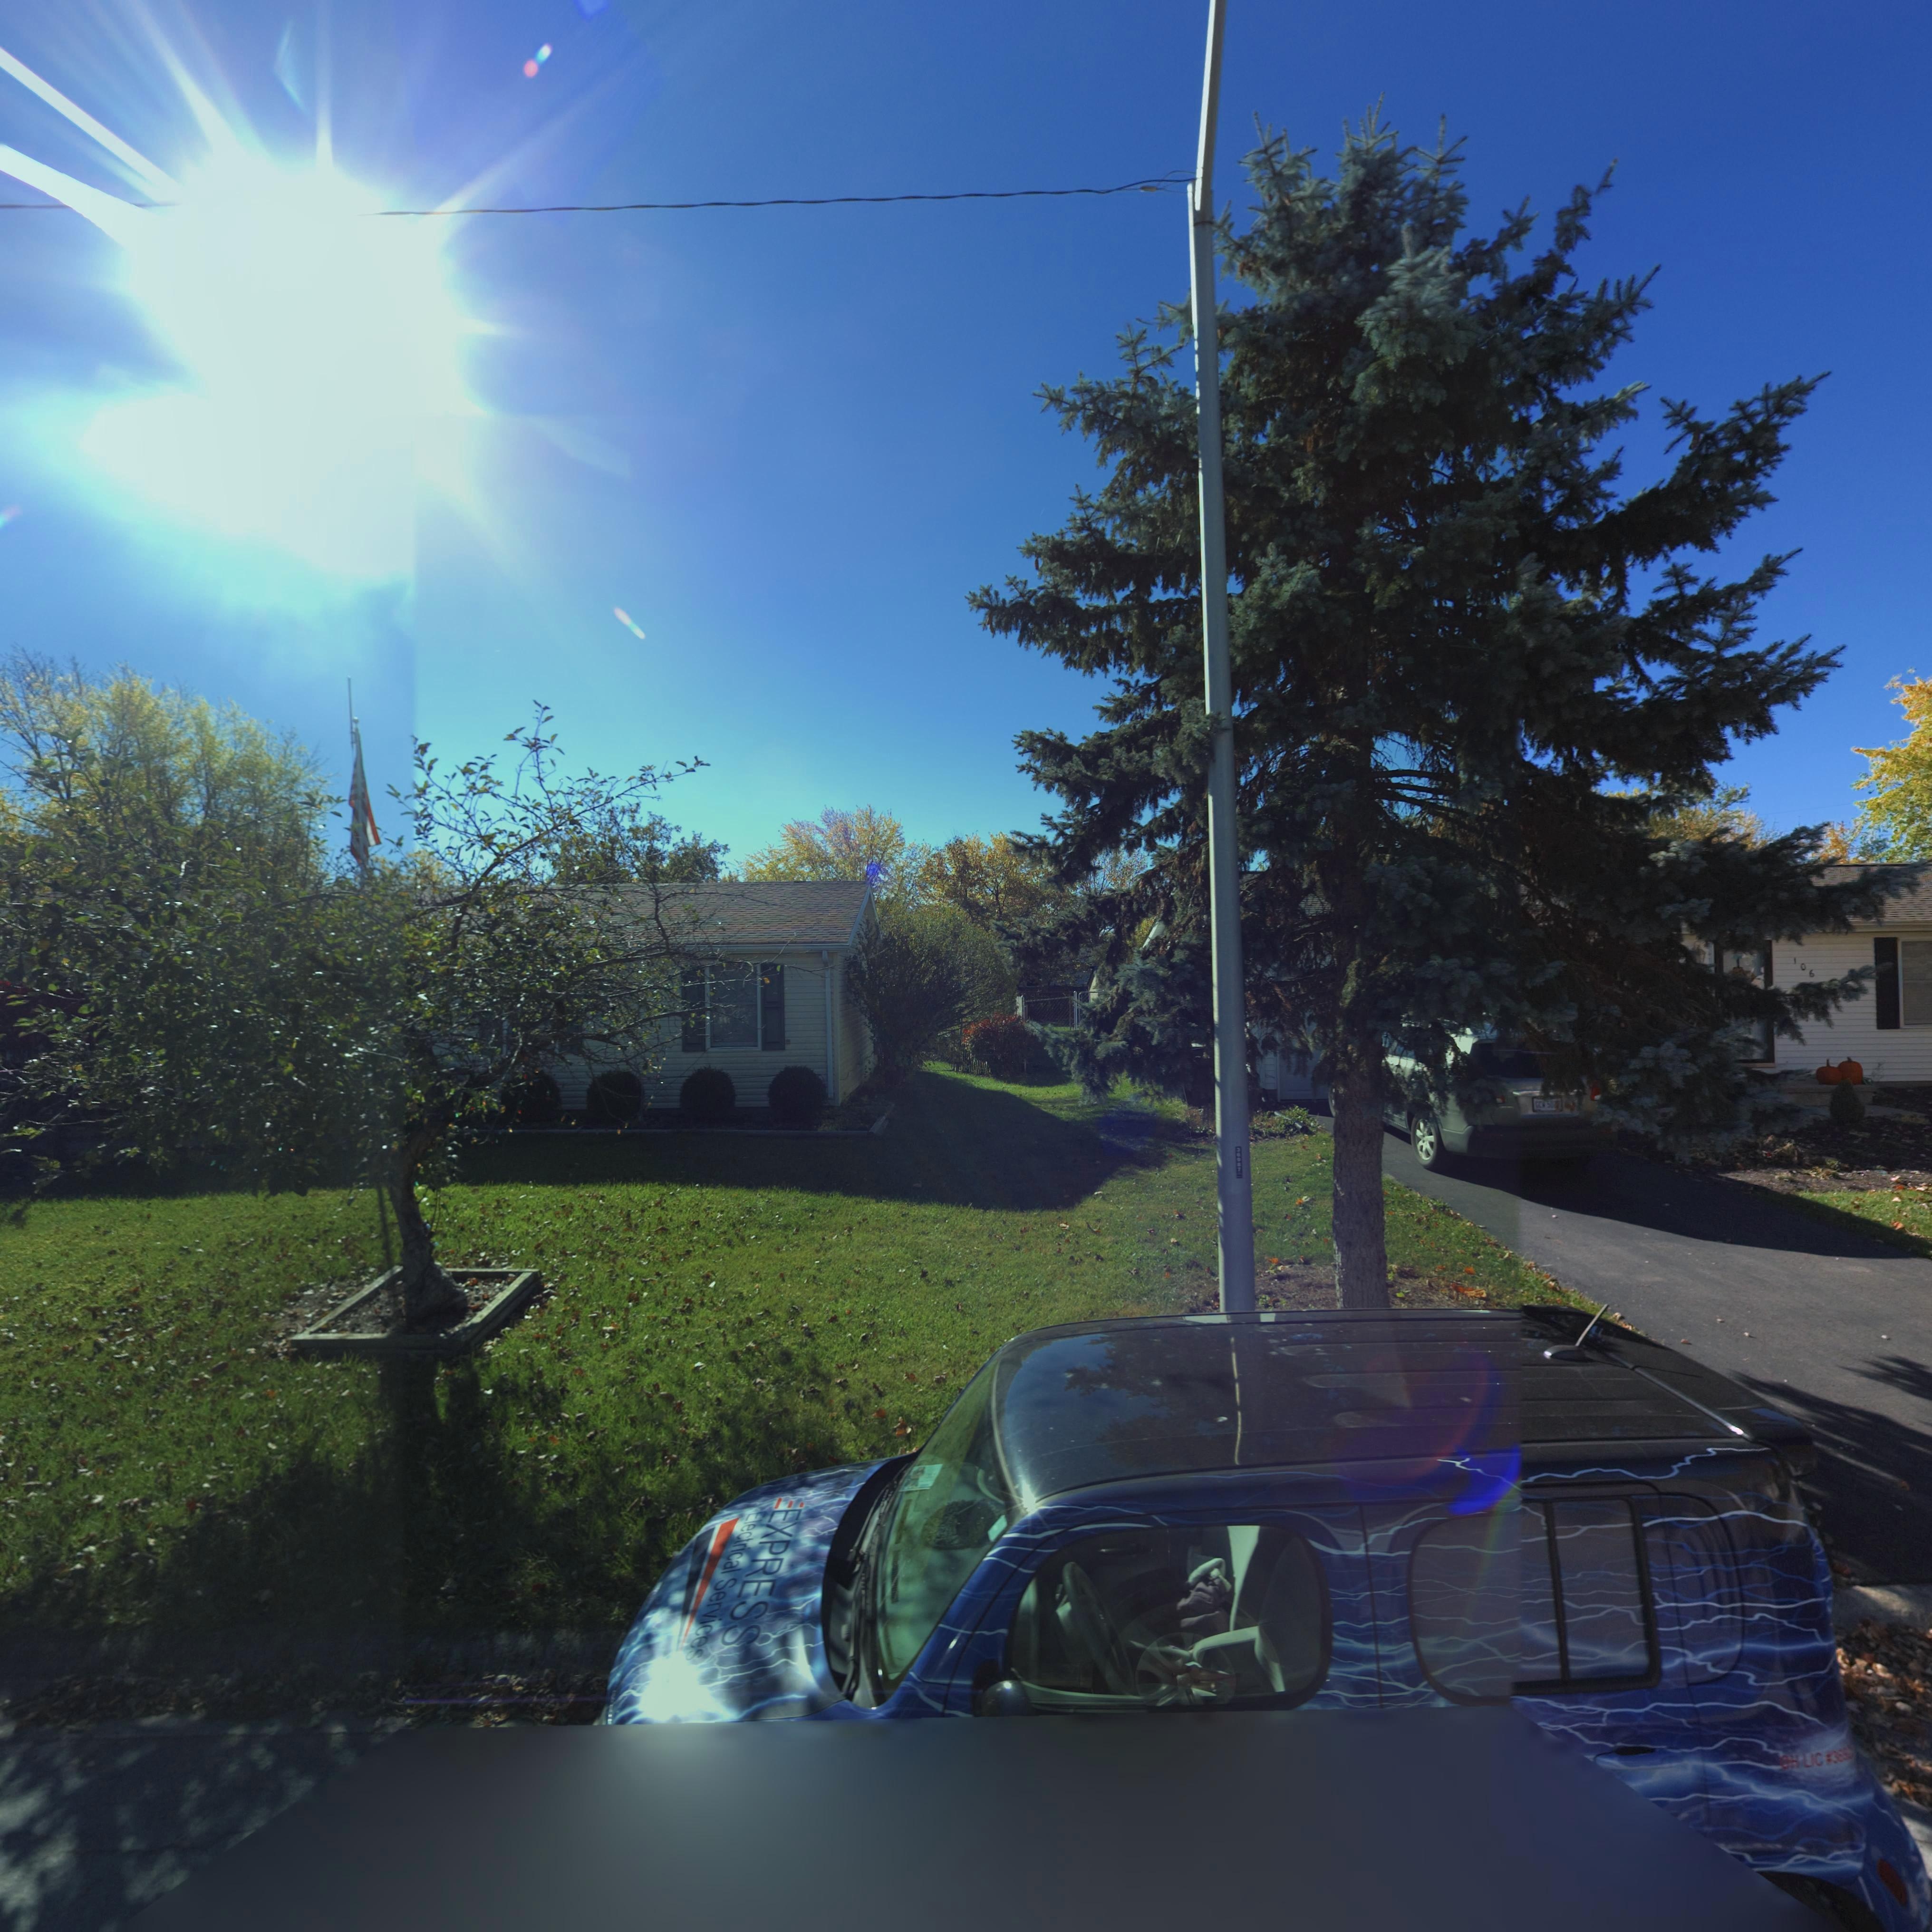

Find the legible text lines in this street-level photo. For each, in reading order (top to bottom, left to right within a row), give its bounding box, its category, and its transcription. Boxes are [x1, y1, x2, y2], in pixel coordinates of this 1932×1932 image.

[1792, 956, 1816, 978] StreetNumber: 106